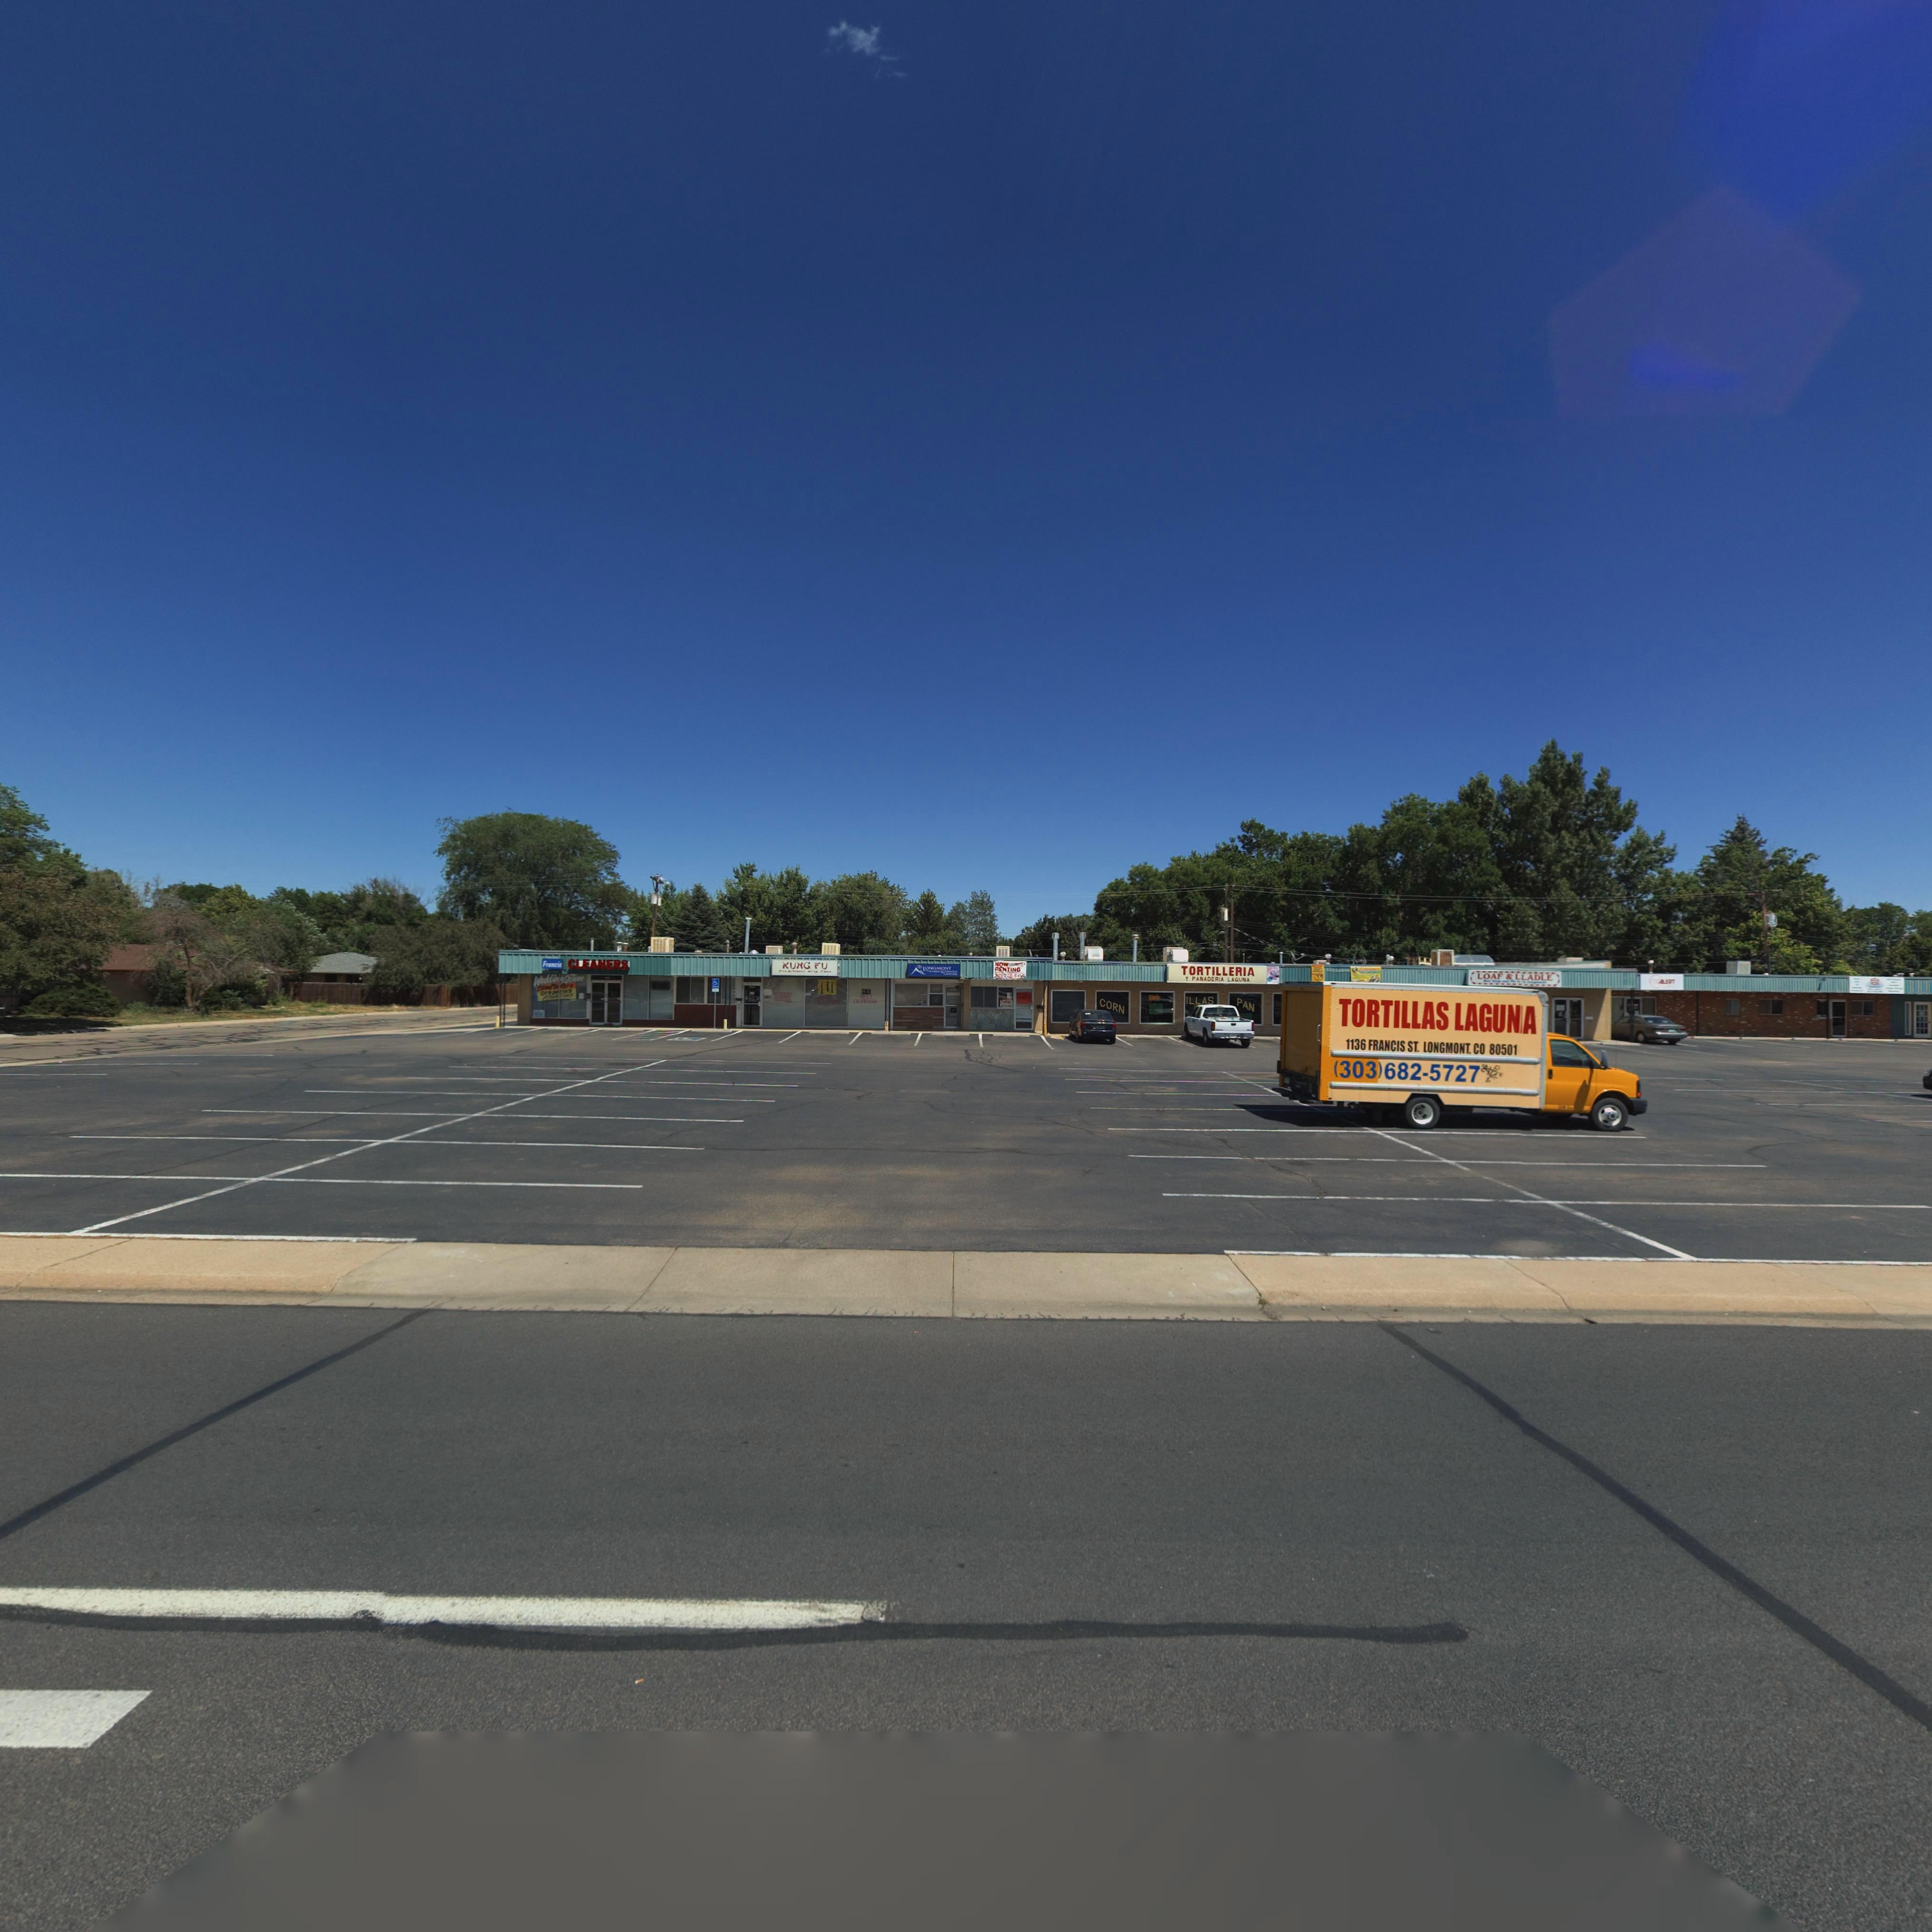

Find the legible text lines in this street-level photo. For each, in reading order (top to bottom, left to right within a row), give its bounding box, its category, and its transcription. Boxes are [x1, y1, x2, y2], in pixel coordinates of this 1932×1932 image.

[542, 960, 562, 967] BusinessName: Francis
[567, 958, 628, 970] BusinessName: CLEANERS
[782, 962, 828, 970] BusinessName: KUNG FU
[1181, 965, 1255, 976] BusinessName: TORTILLERIA
[1185, 976, 1250, 982] BusinessName: Y PANADERIA LAGUNA
[1477, 972, 1554, 981] BusinessName: LOAF * LLADLE
[1657, 978, 1675, 984] BusinessName: ALERT